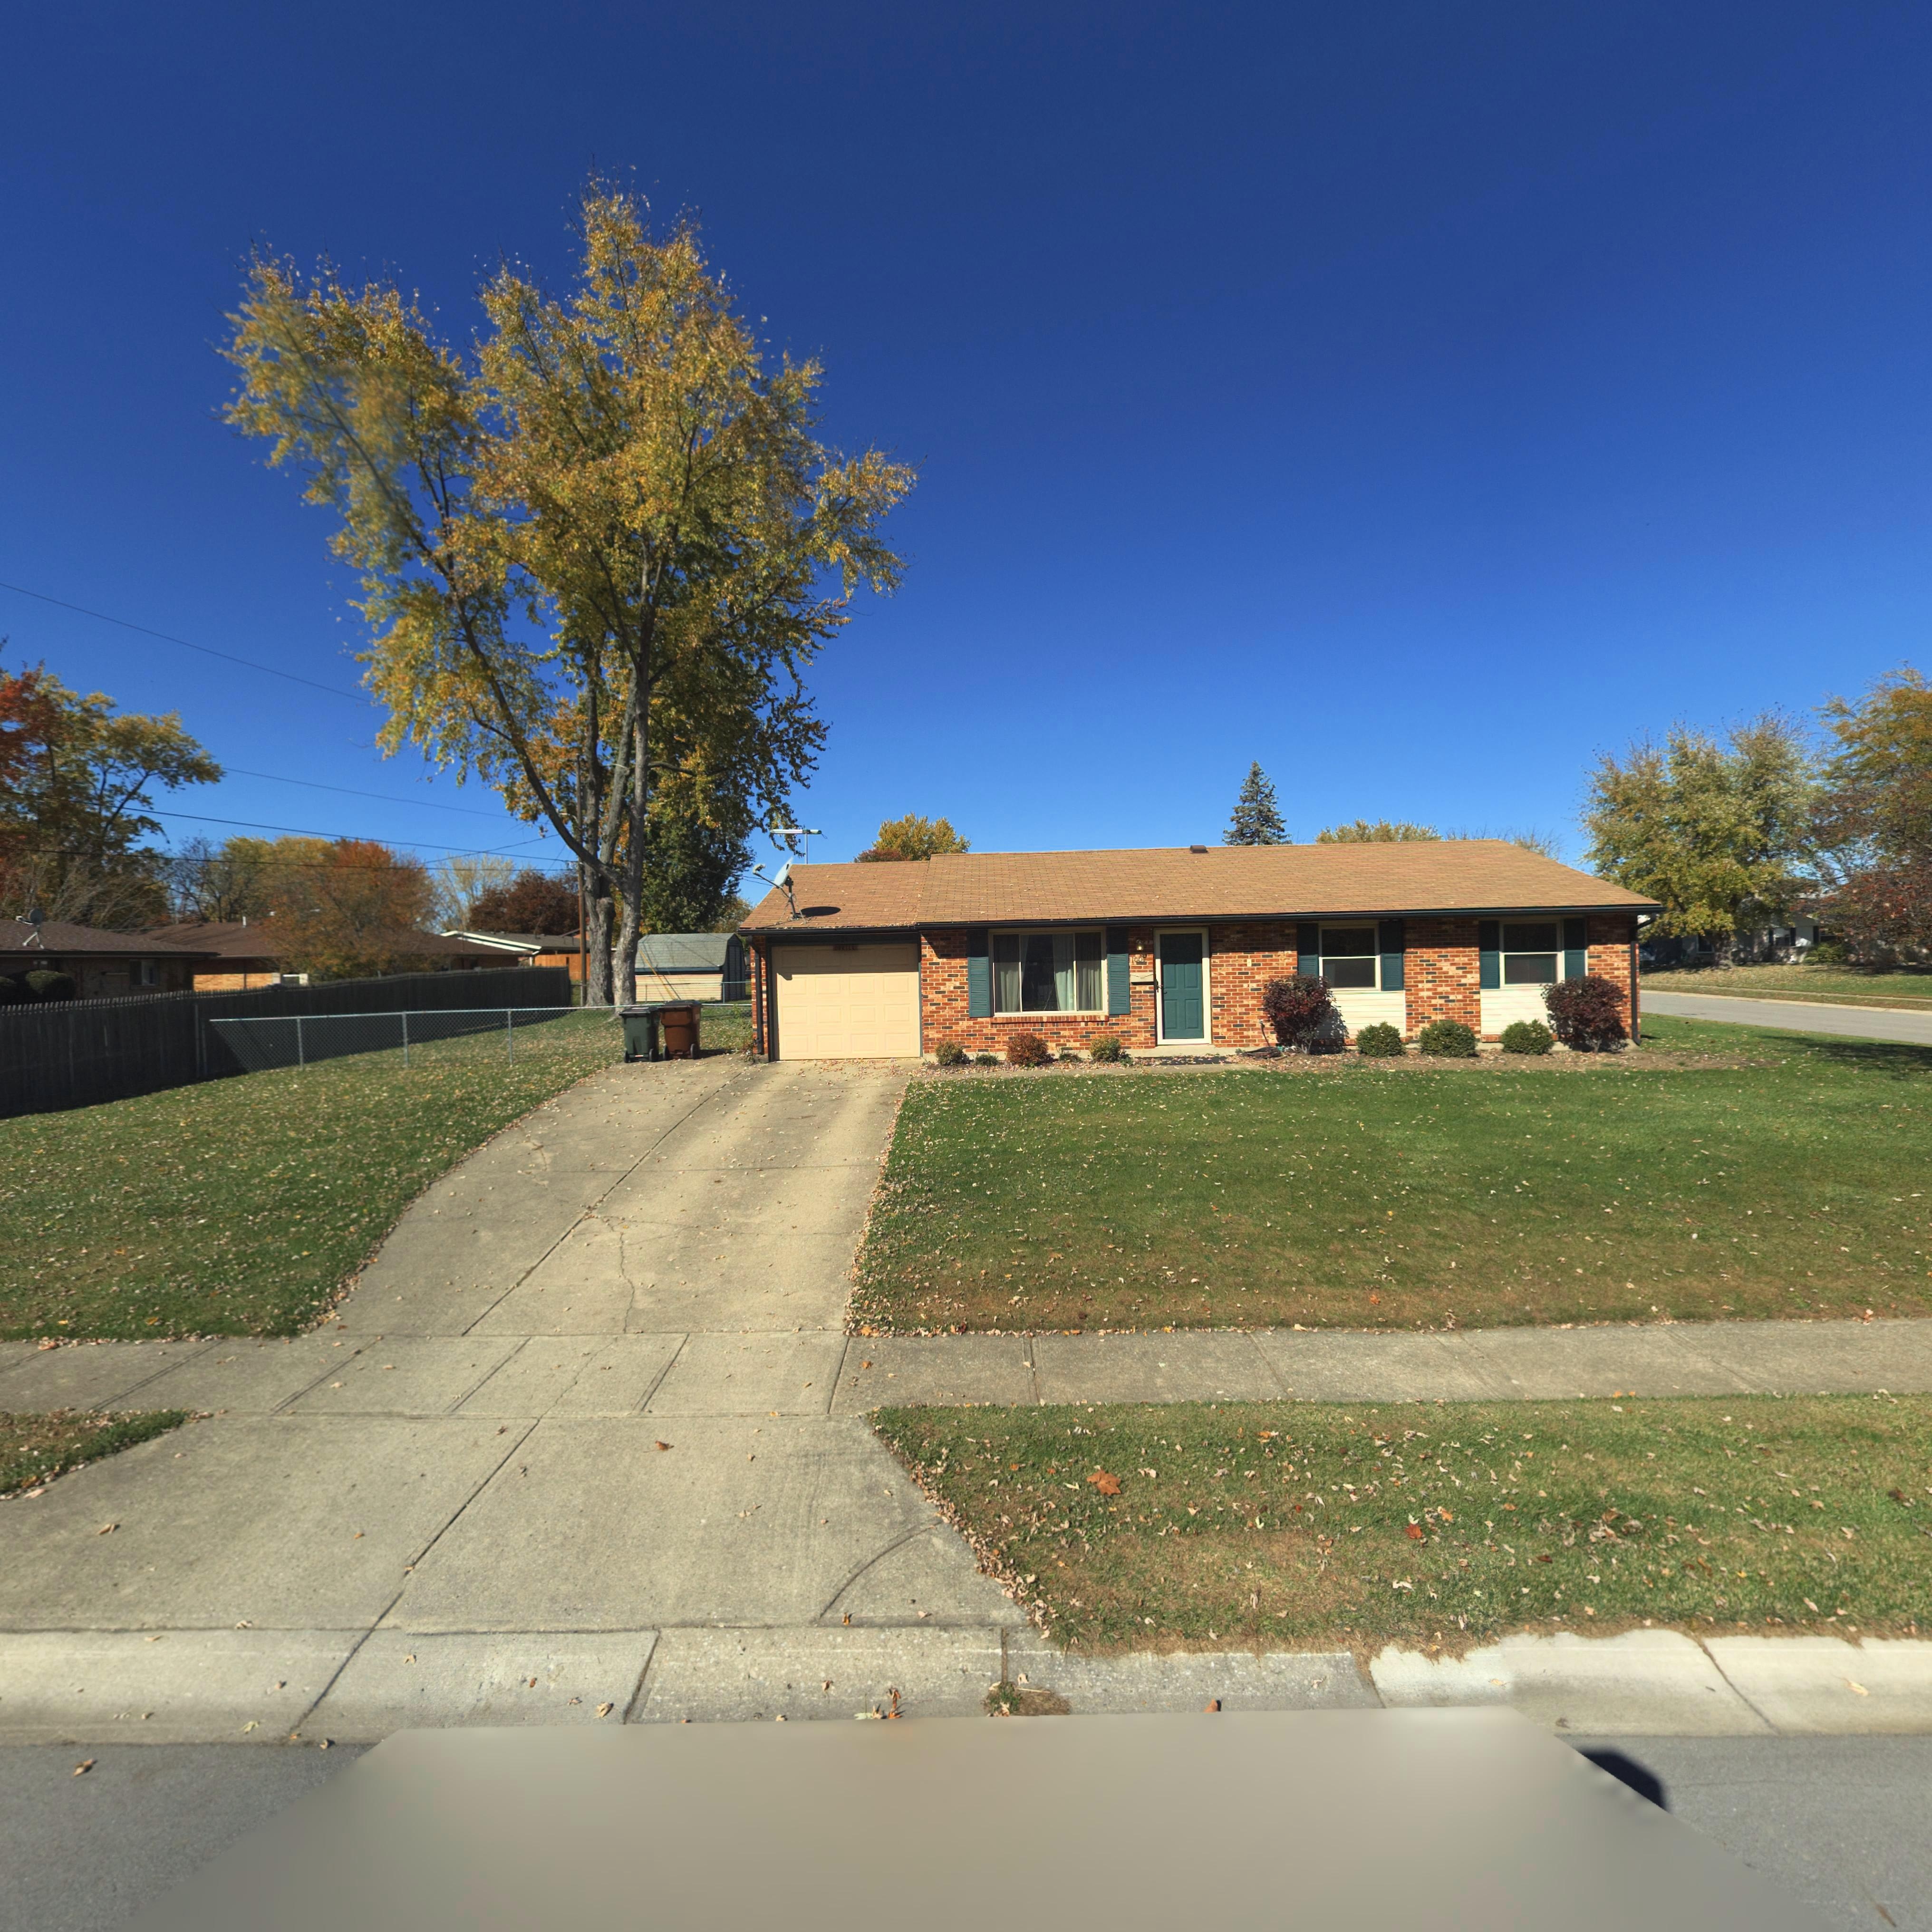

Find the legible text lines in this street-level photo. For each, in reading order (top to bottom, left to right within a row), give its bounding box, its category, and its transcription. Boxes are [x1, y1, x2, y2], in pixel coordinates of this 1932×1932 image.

[1131, 956, 1143, 963] StreetNumber: 100